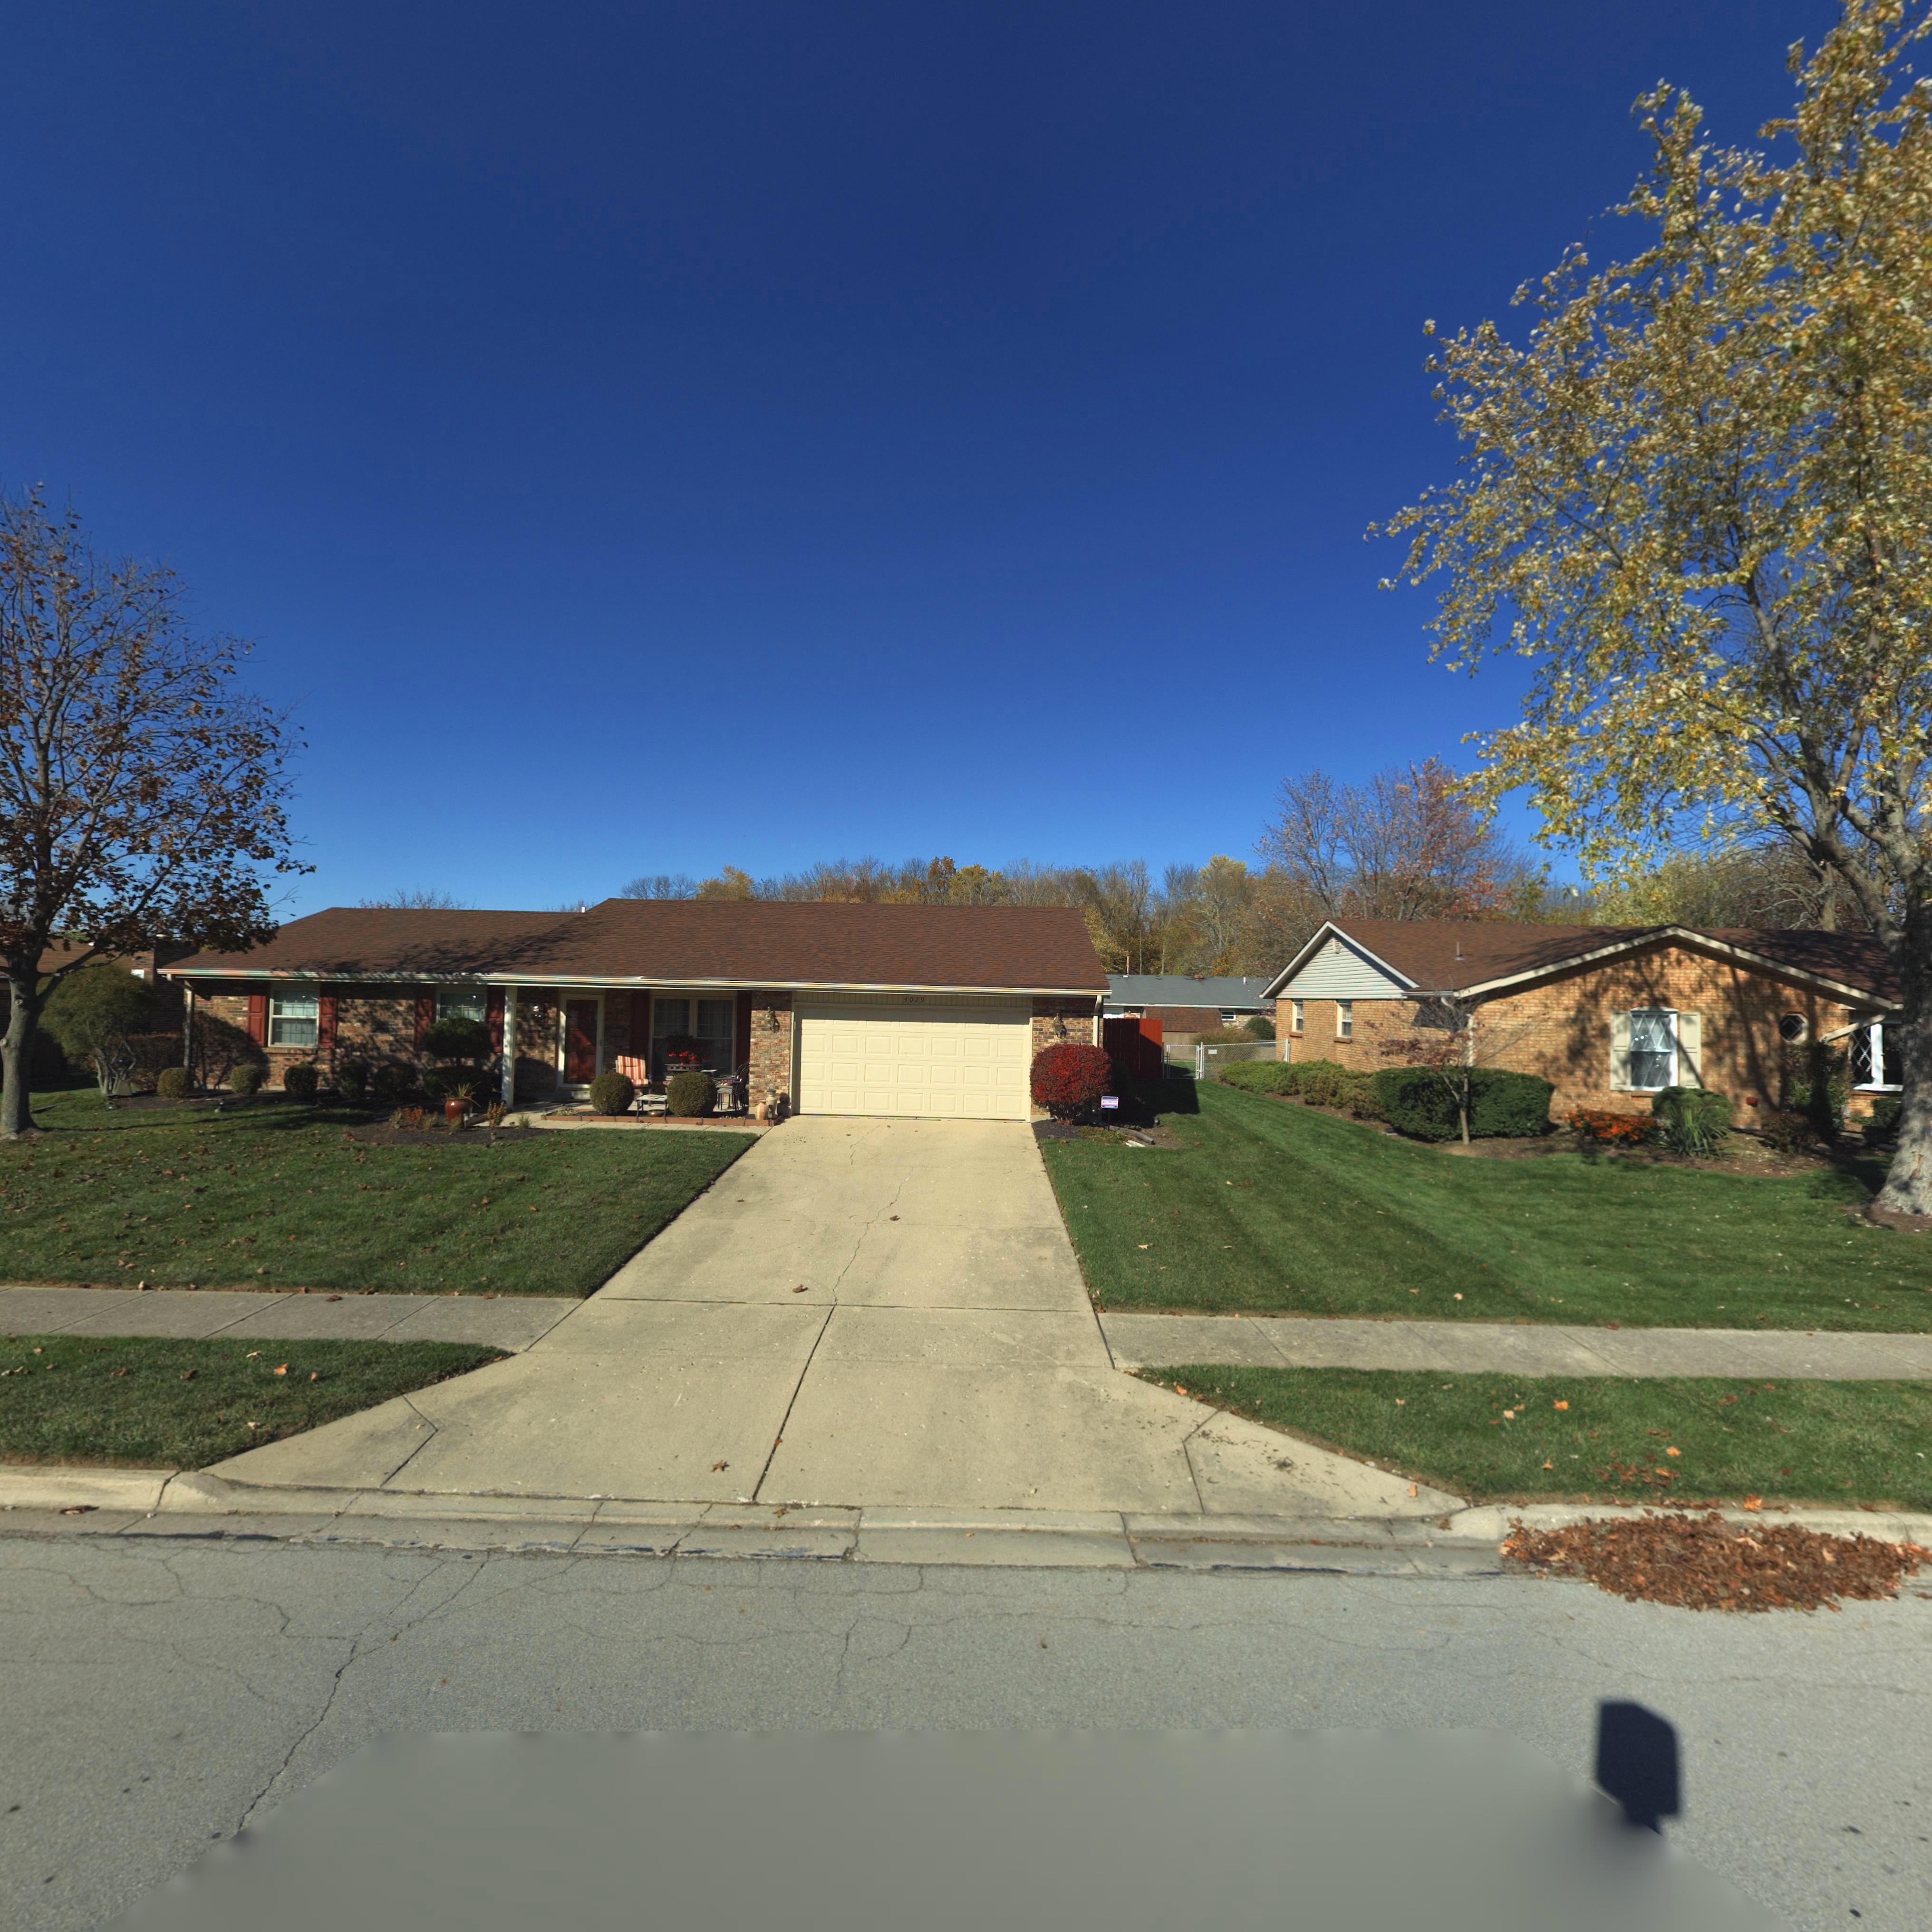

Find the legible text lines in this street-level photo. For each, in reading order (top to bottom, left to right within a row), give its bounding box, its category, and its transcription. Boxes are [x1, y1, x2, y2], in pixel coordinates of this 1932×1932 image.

[904, 996, 925, 1003] StreetNumber: 4029